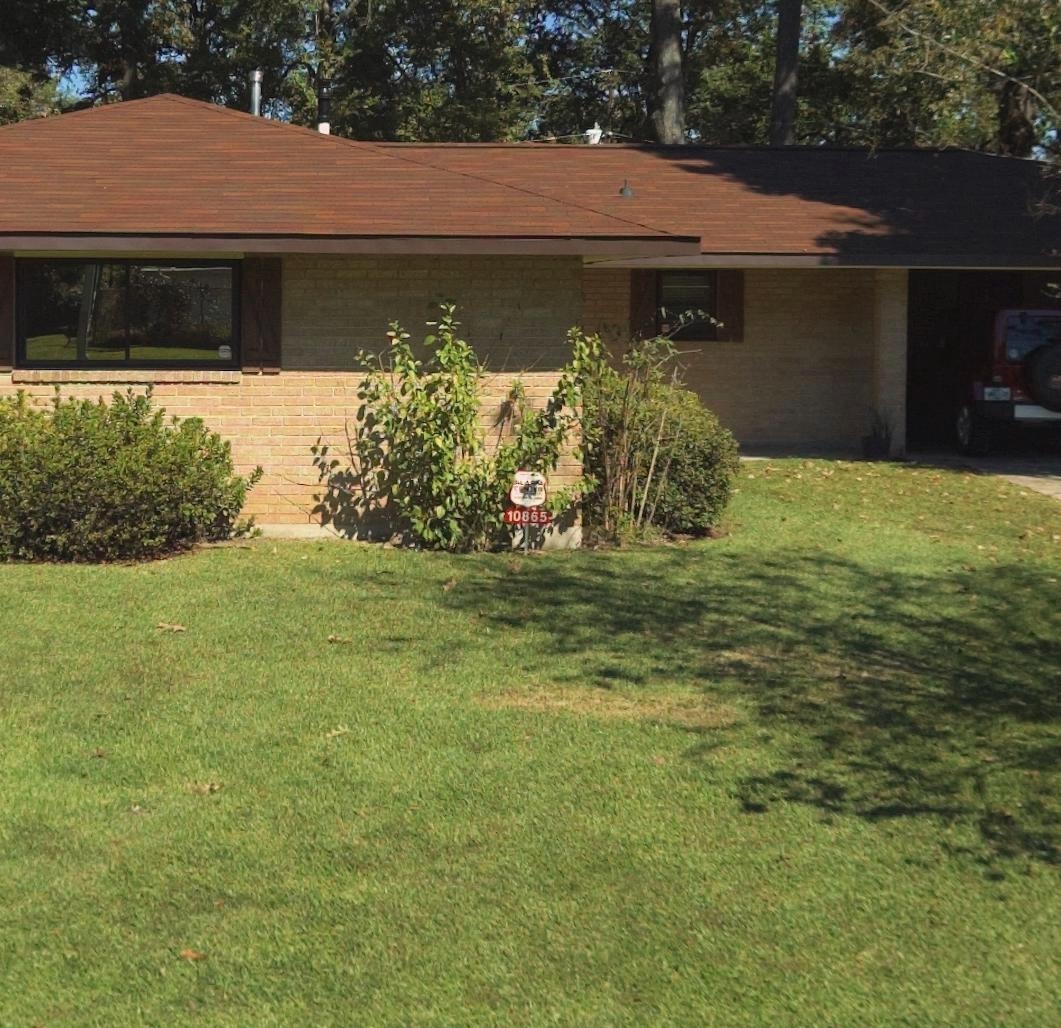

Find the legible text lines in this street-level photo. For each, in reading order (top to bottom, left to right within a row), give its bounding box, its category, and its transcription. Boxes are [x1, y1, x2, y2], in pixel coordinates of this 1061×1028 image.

[506, 509, 548, 524] StreetNumber: 10865